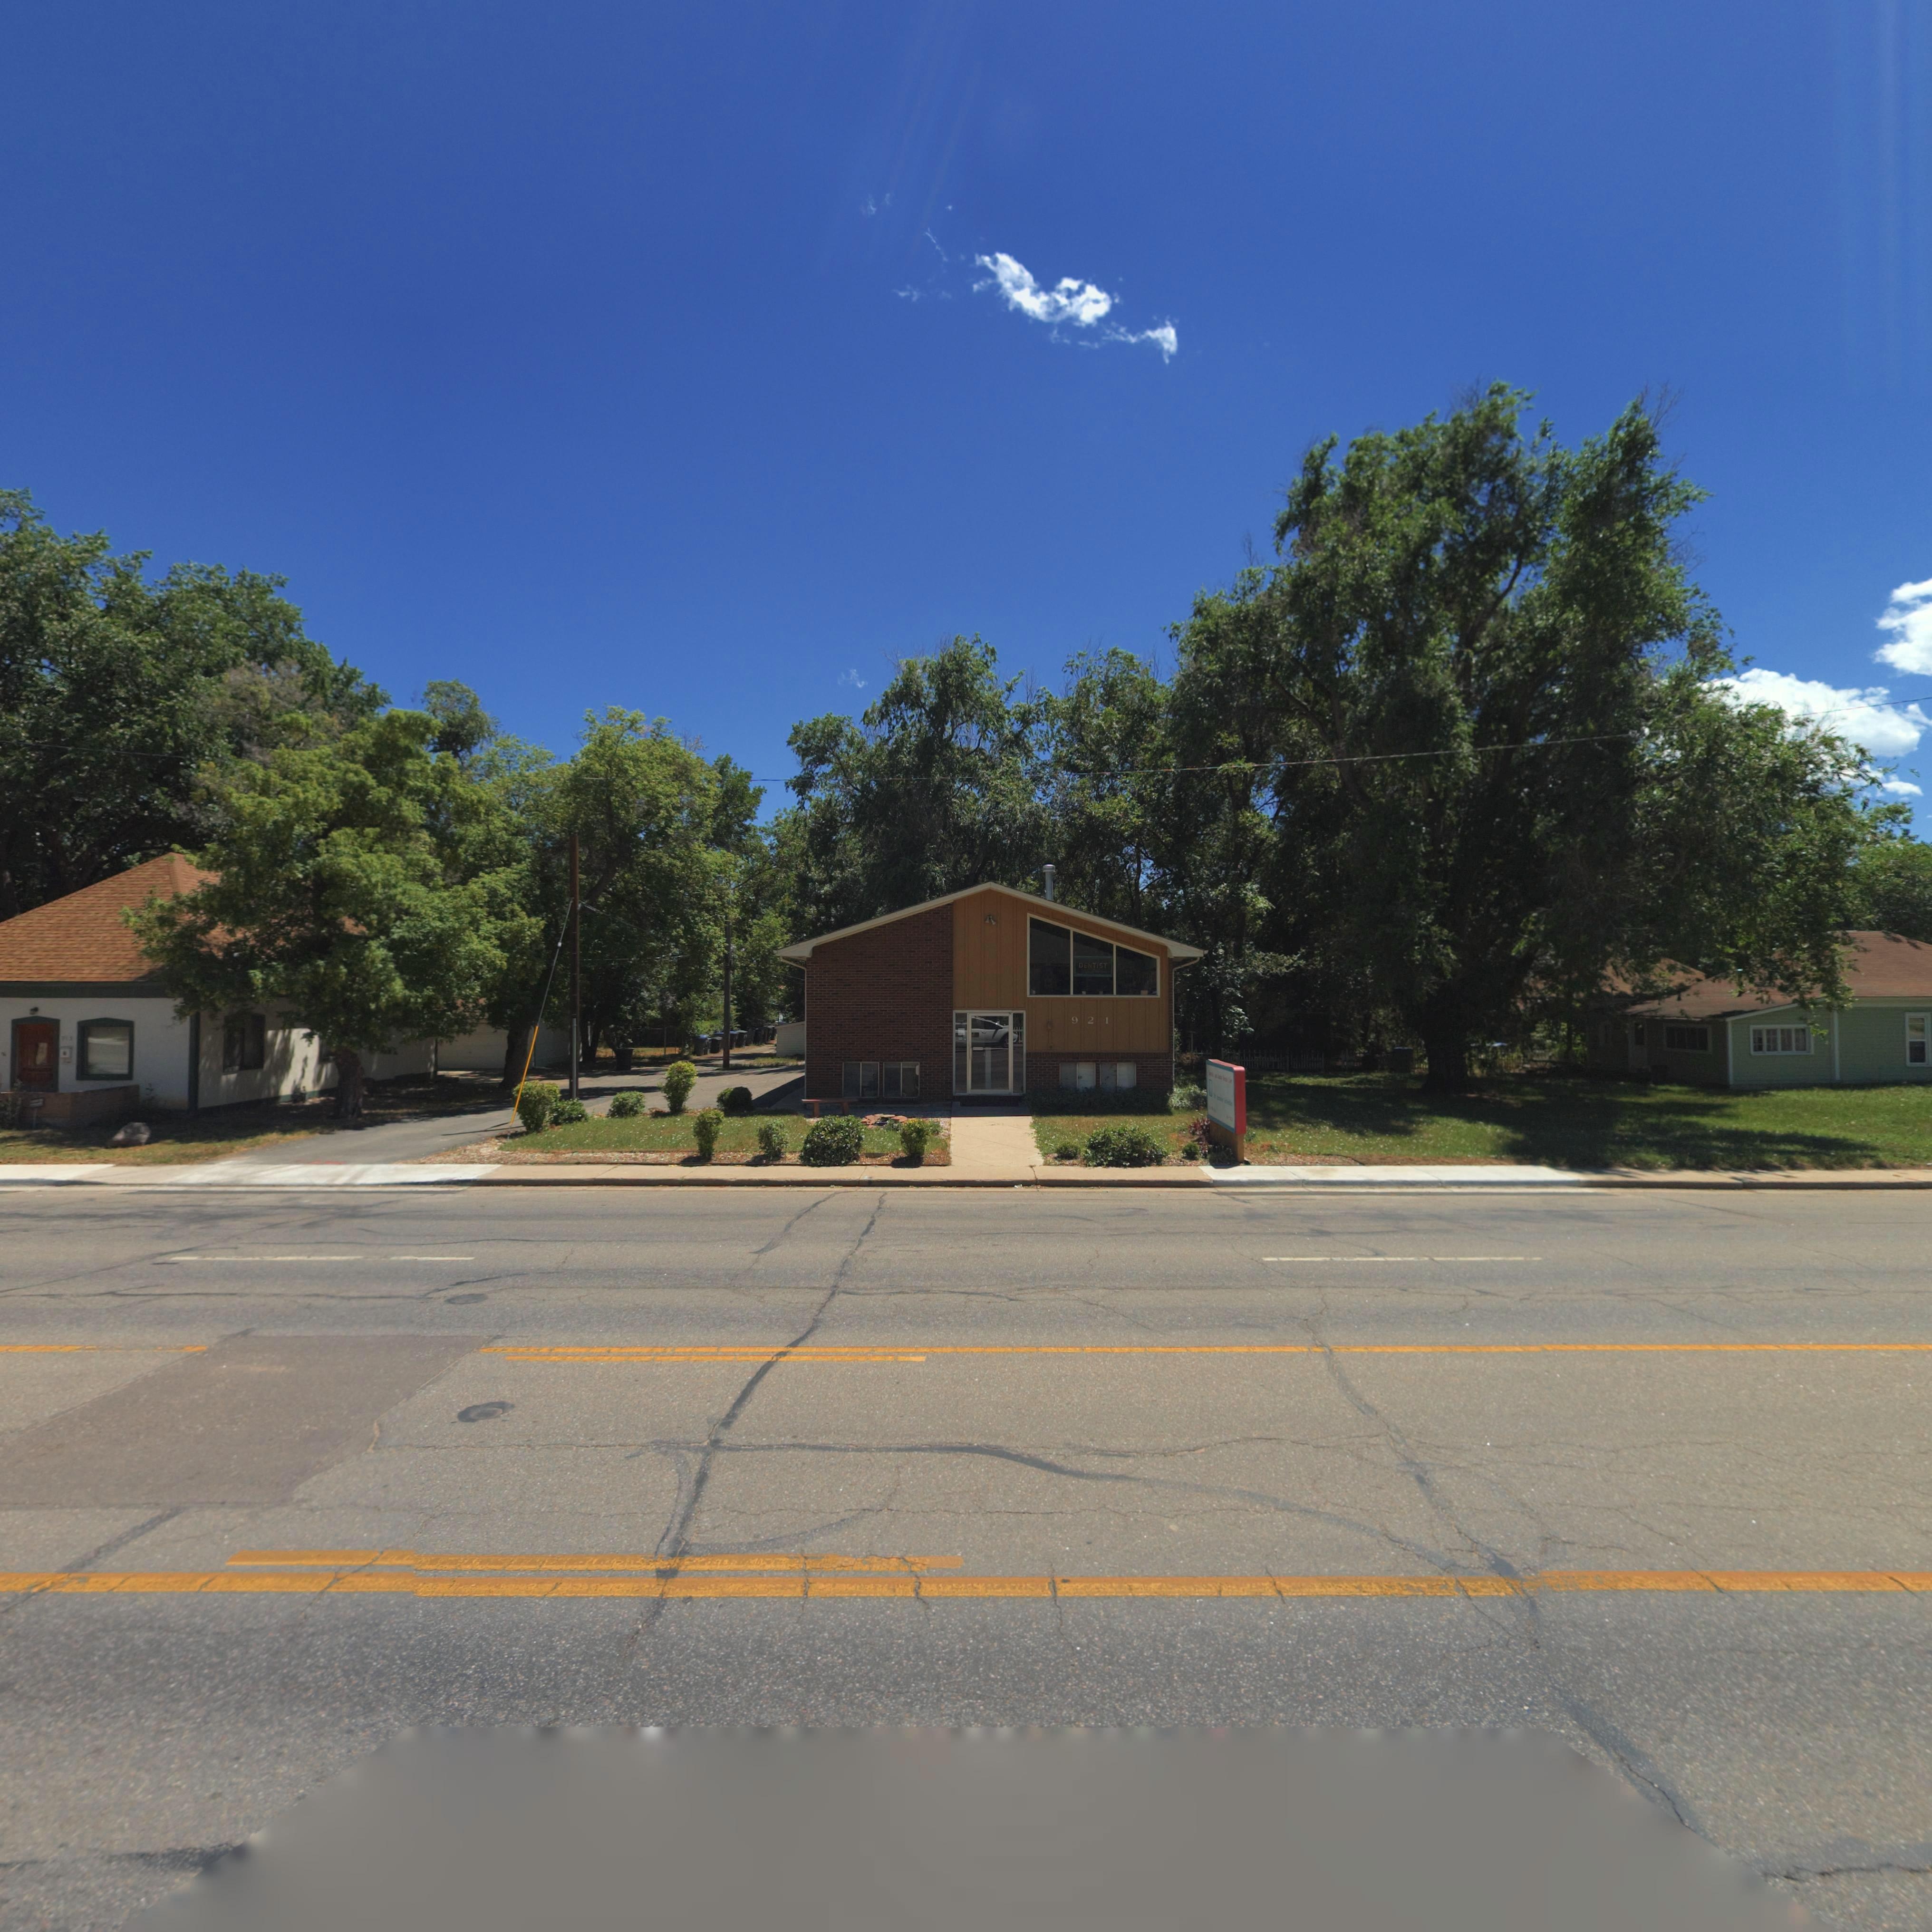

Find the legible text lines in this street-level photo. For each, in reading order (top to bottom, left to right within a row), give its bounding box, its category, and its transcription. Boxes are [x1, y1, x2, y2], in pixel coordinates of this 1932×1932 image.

[1072, 1016, 1109, 1024] StreetNumber: 921
[60, 1035, 72, 1041] StreetNumber: 91*